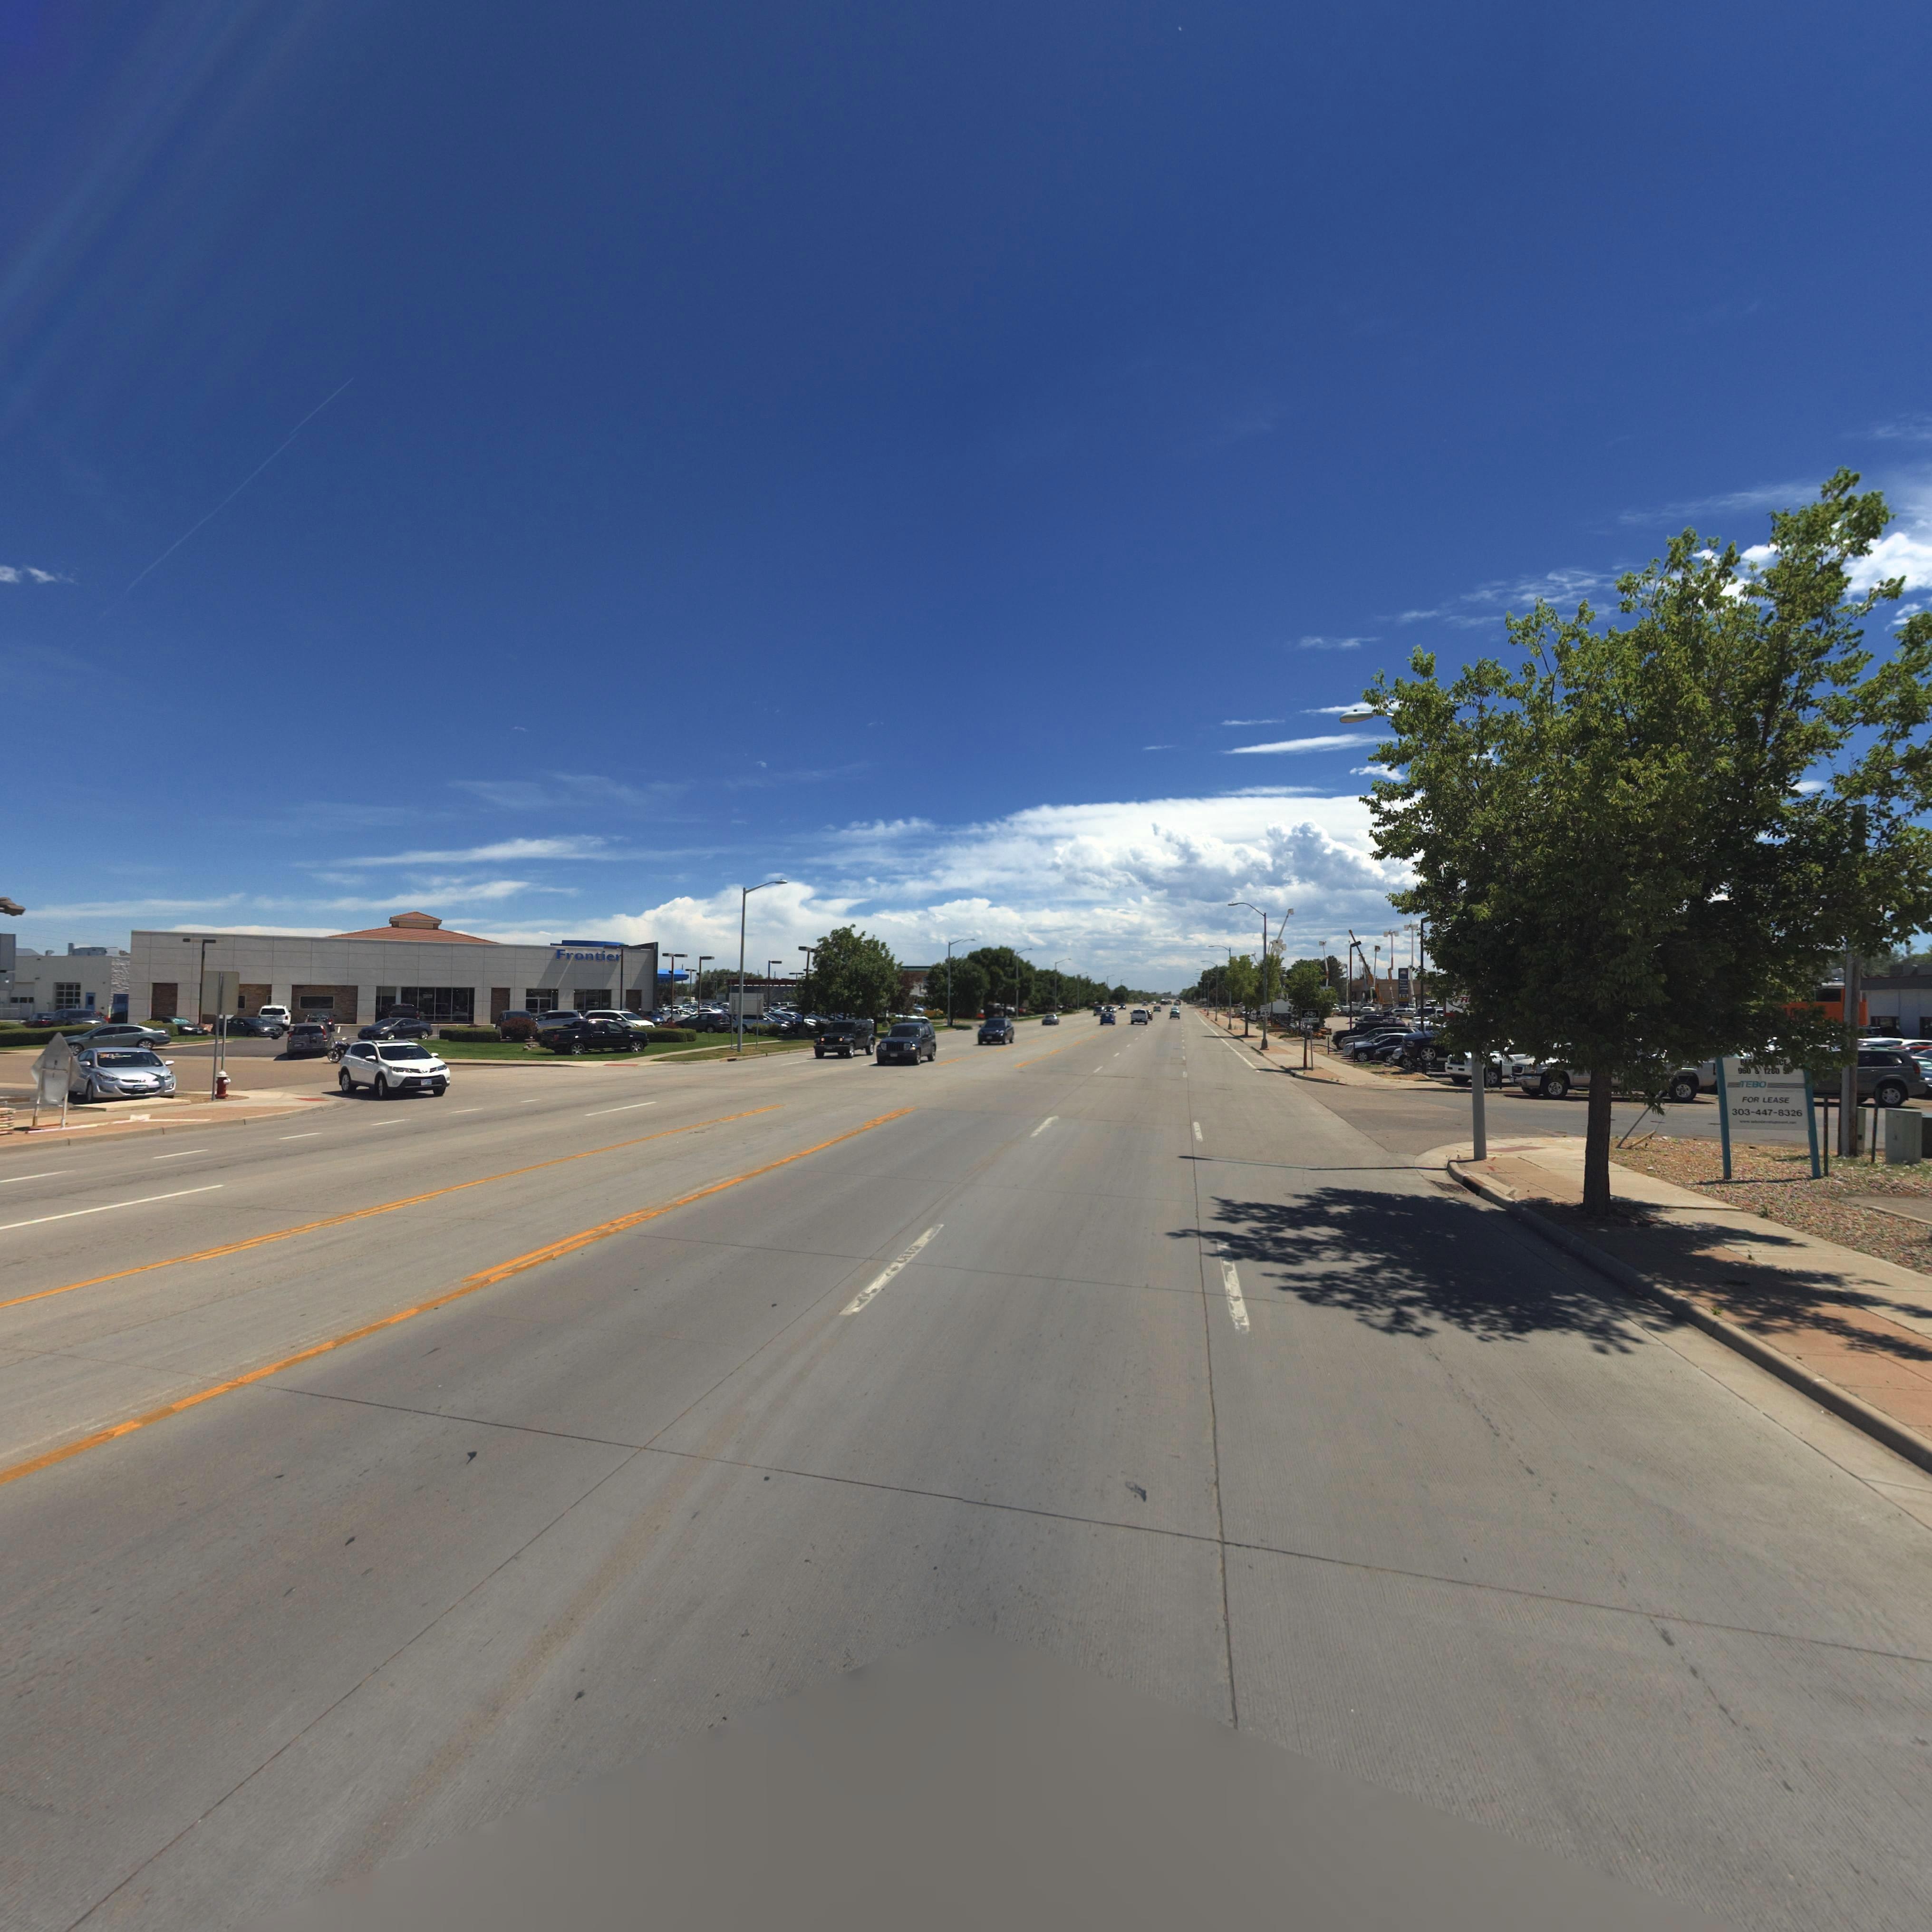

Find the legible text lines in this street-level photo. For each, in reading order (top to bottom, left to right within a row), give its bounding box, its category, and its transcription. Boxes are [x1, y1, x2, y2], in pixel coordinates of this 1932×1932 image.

[556, 948, 622, 962] BusinessName: Frontier